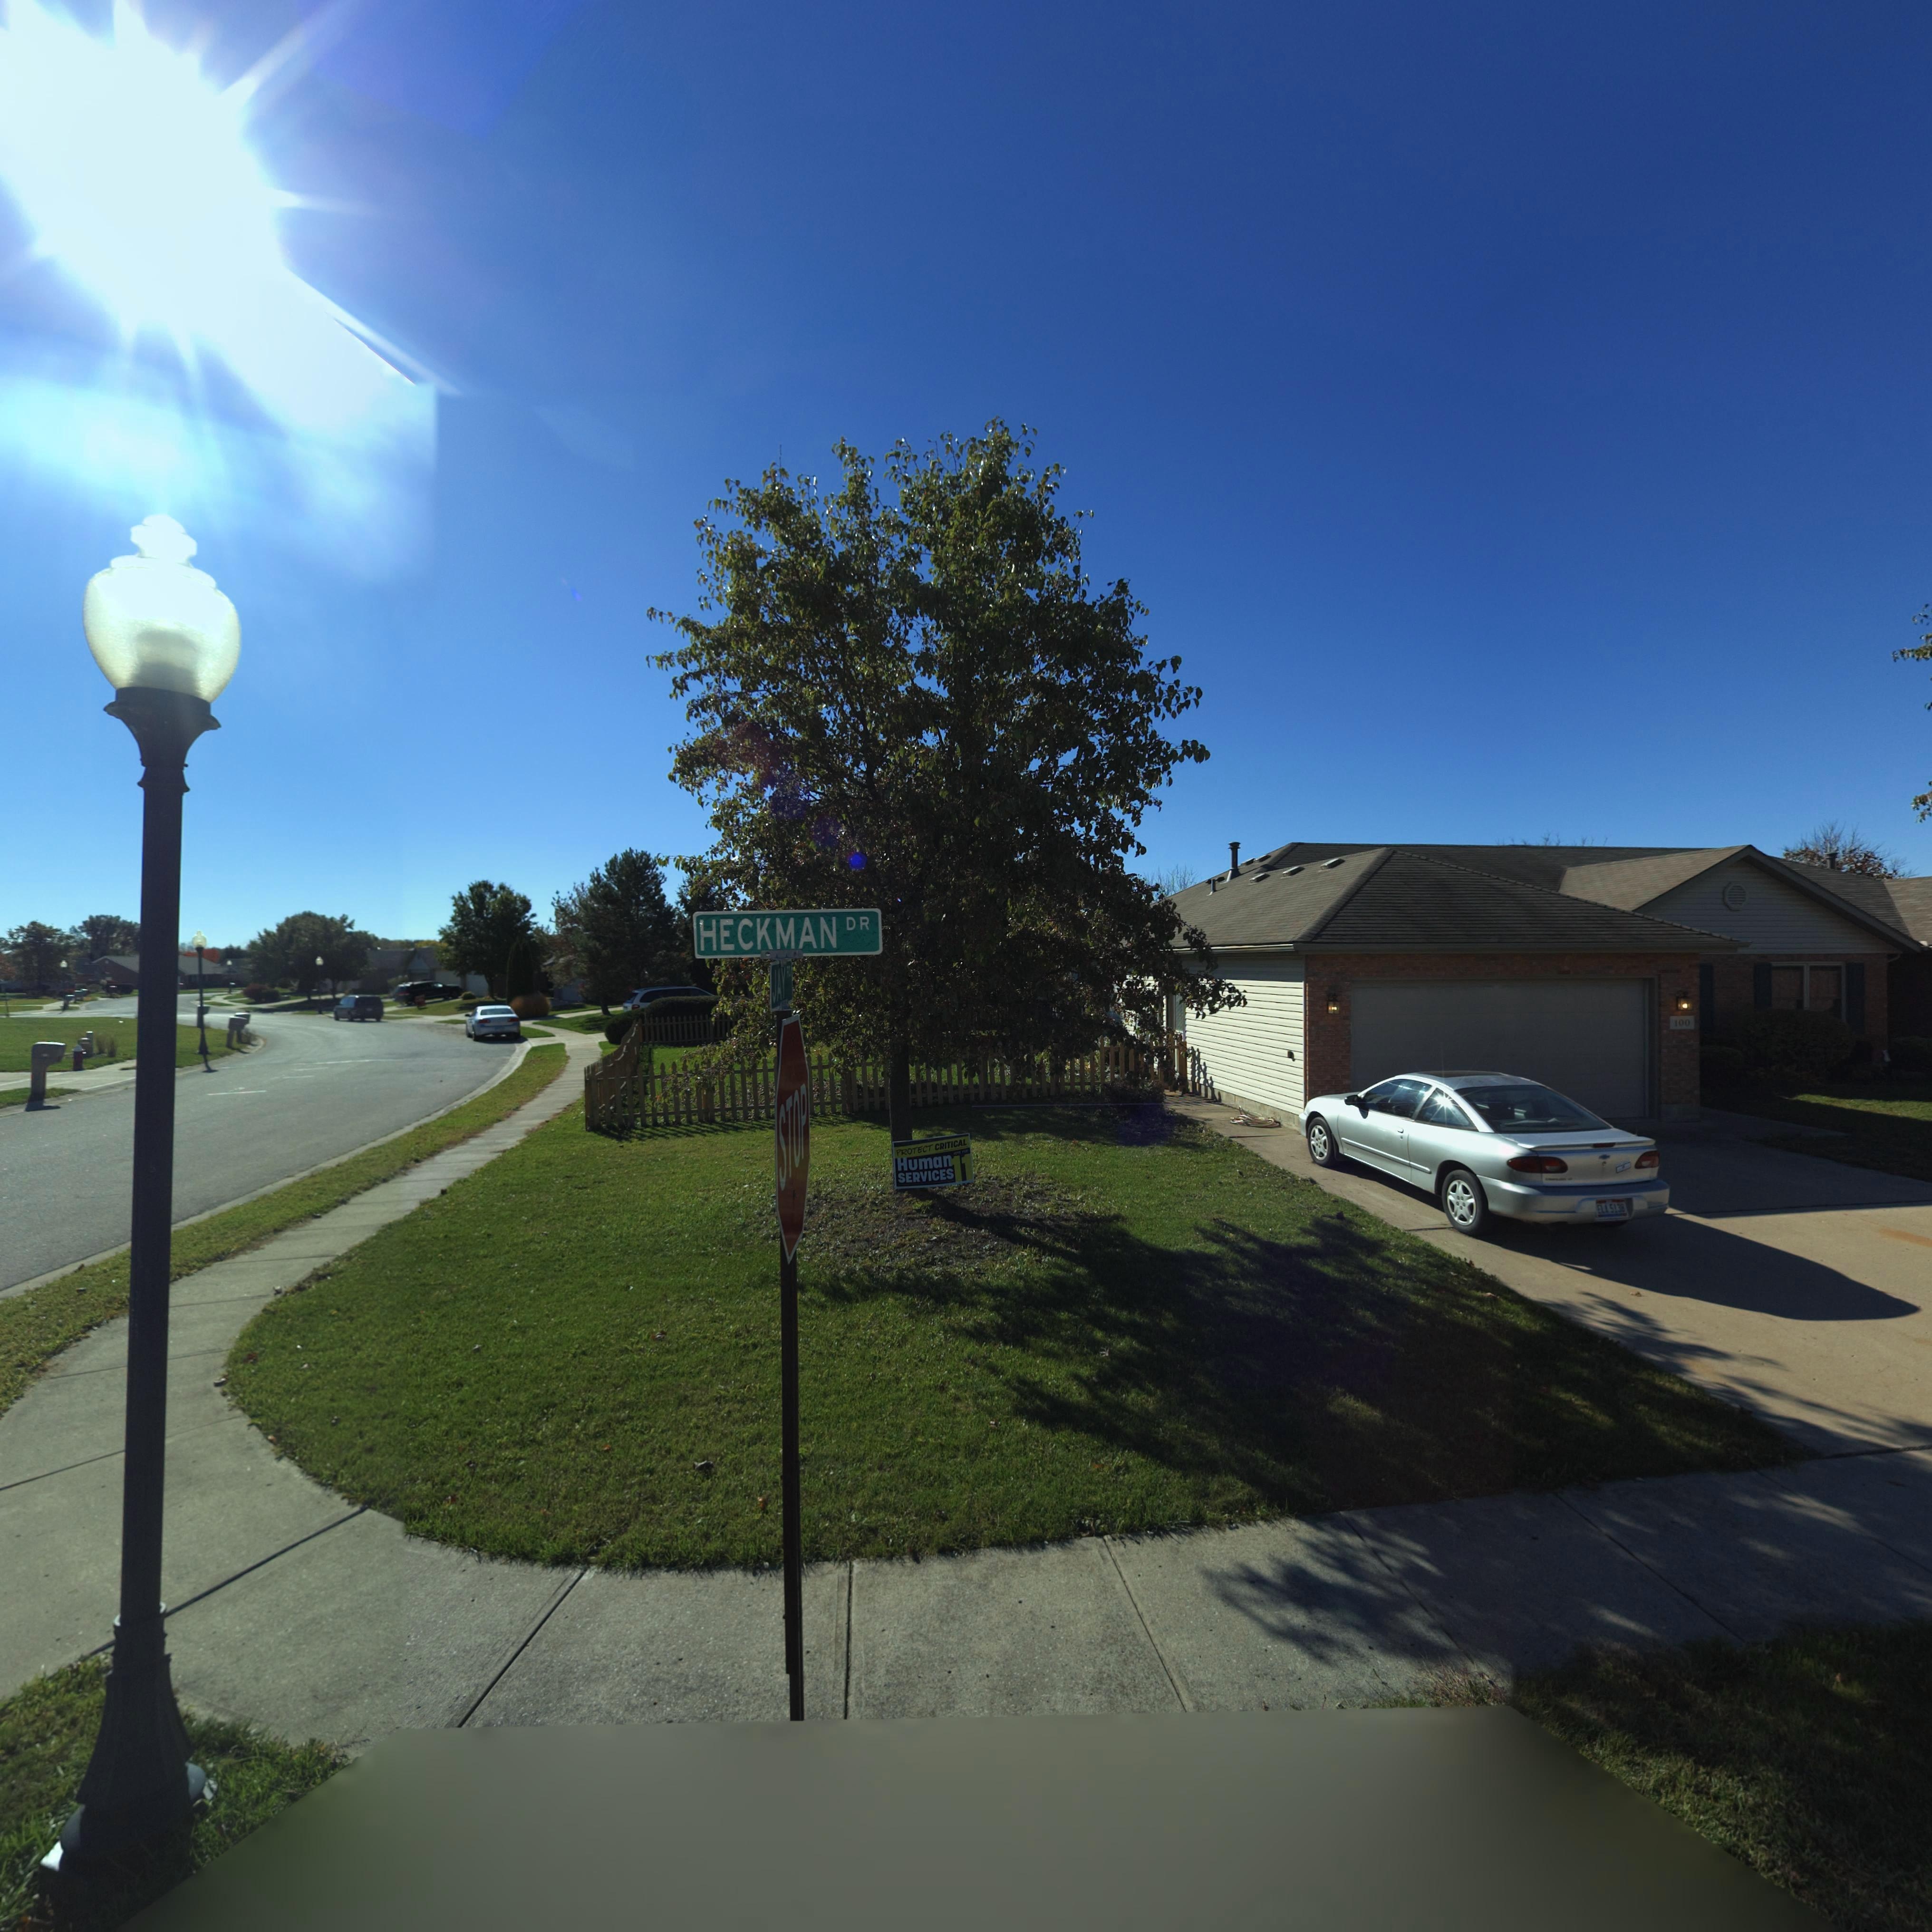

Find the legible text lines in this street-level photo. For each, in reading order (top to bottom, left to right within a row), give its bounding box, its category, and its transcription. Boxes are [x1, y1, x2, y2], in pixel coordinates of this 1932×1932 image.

[692, 916, 877, 952] None: HECKMAN DR
[1674, 1019, 1690, 1027] StreetNumber: 100
[773, 1079, 807, 1193] None: STOP
[894, 1138, 967, 1158] None: PROTECT CRITICAL
[896, 1155, 954, 1172] None: Human
[896, 1167, 956, 1185] None: SERVICES
[1597, 1202, 1626, 1215] None: *** 5138